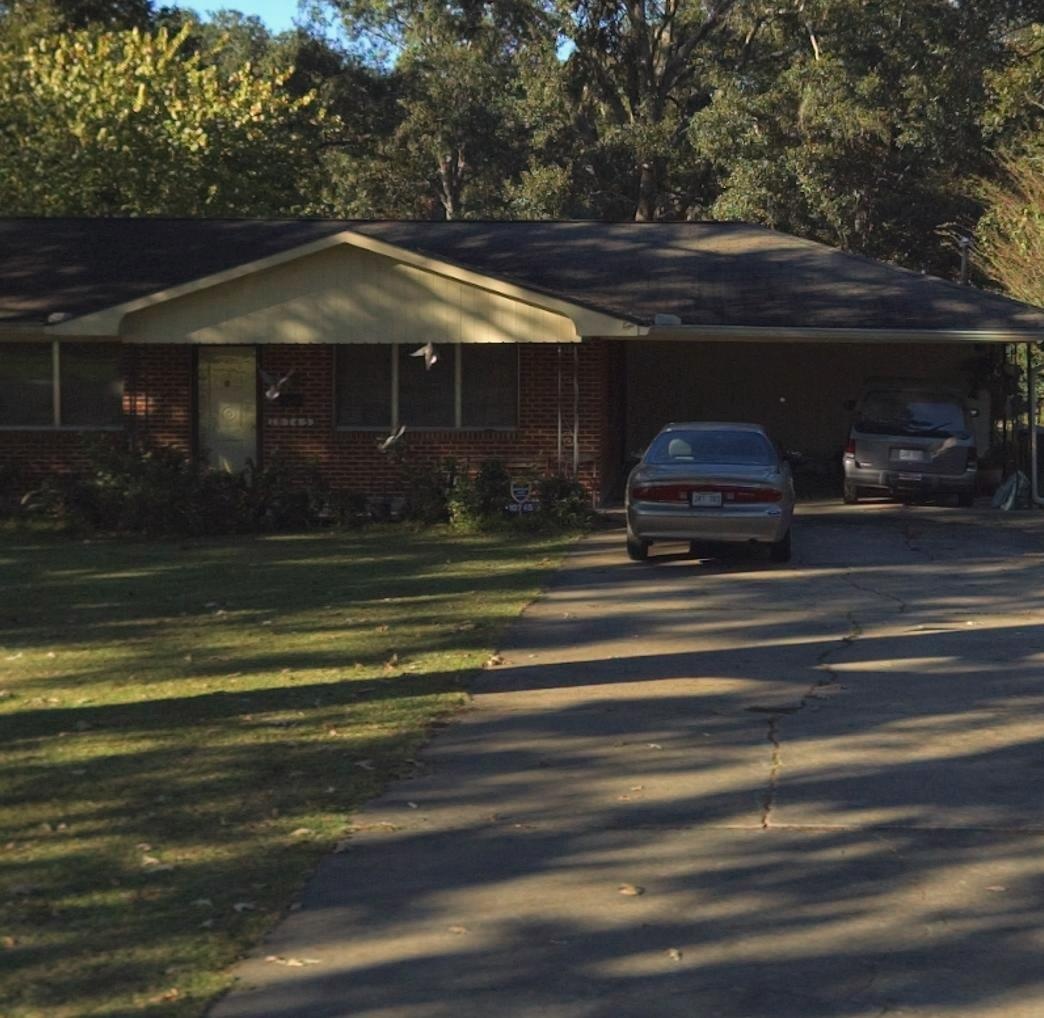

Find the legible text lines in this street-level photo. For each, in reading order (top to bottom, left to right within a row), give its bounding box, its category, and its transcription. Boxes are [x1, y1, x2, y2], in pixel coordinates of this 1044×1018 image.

[269, 418, 310, 426] StreetNumber: 10745
[508, 503, 534, 512] StreetNumber: 10745